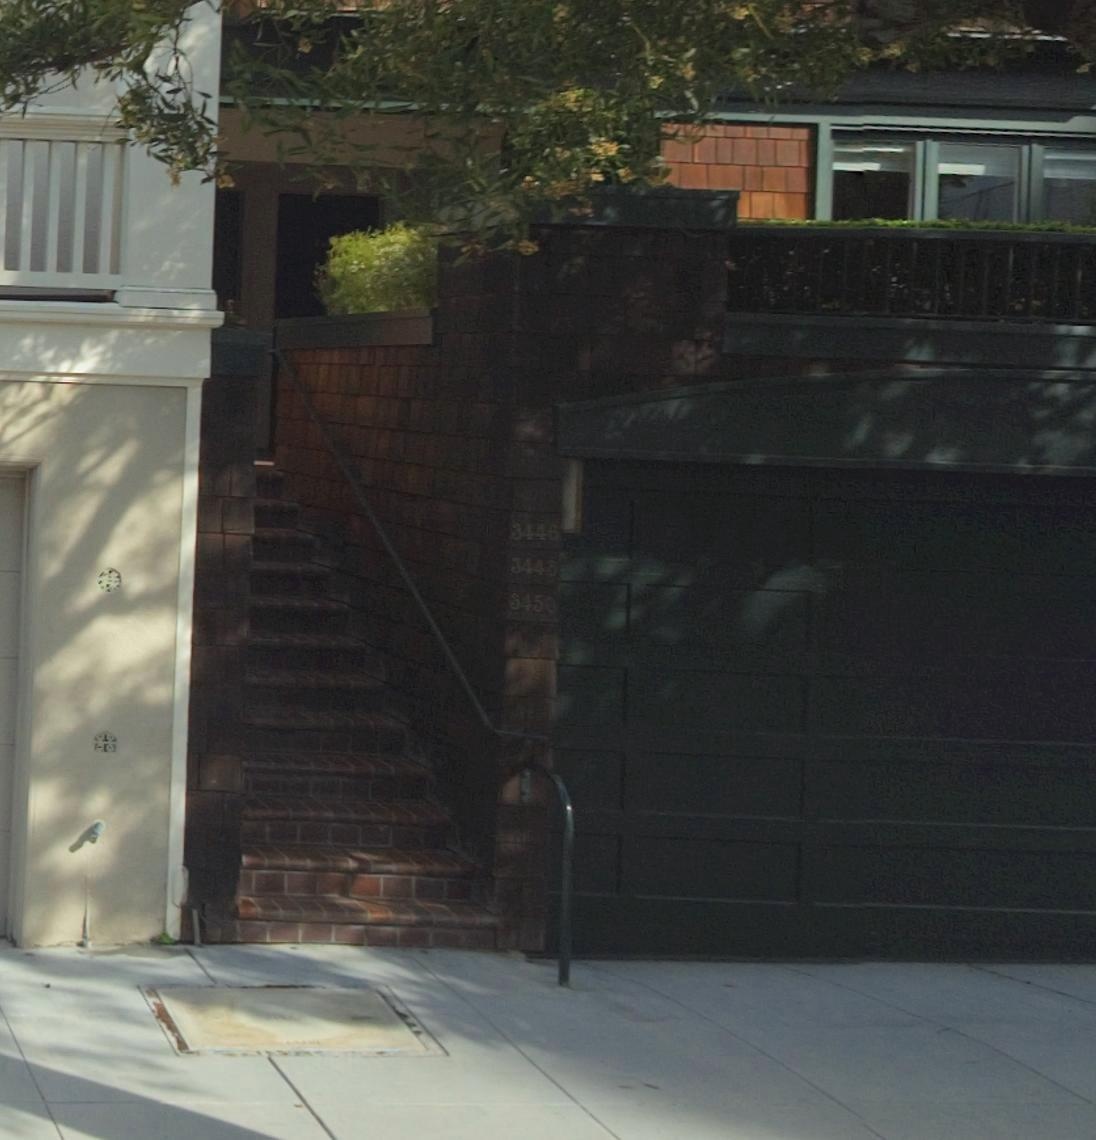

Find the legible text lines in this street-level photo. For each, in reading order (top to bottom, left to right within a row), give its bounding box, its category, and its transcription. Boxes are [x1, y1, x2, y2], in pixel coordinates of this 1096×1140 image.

[509, 519, 560, 543] StreetNumber: 3446
[508, 553, 559, 580] StreetNumber: 344*
[506, 590, 561, 615] StreetNumber: 3450